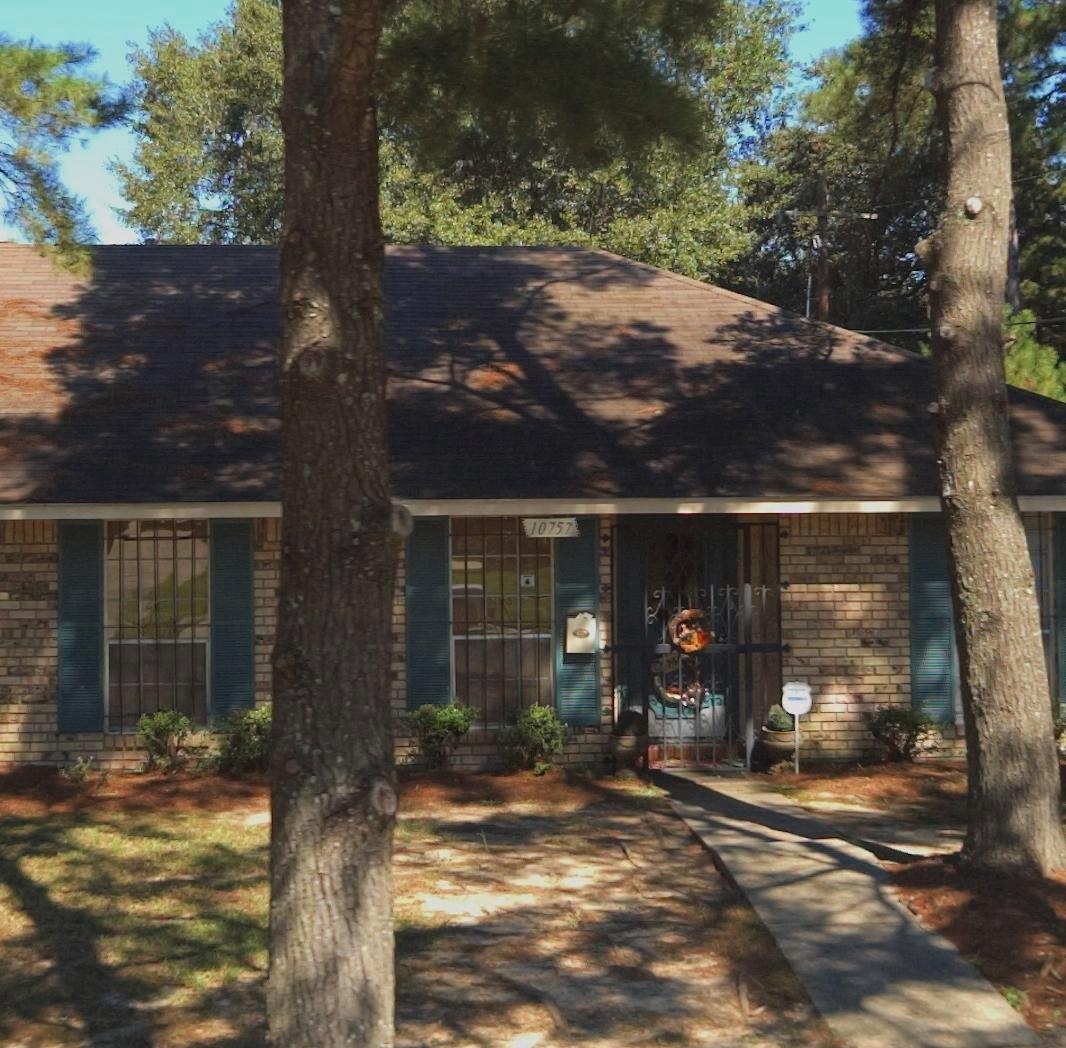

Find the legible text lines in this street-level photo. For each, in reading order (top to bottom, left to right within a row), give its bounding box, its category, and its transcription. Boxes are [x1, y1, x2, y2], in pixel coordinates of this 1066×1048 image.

[528, 520, 575, 537] StreetNumber: 10757